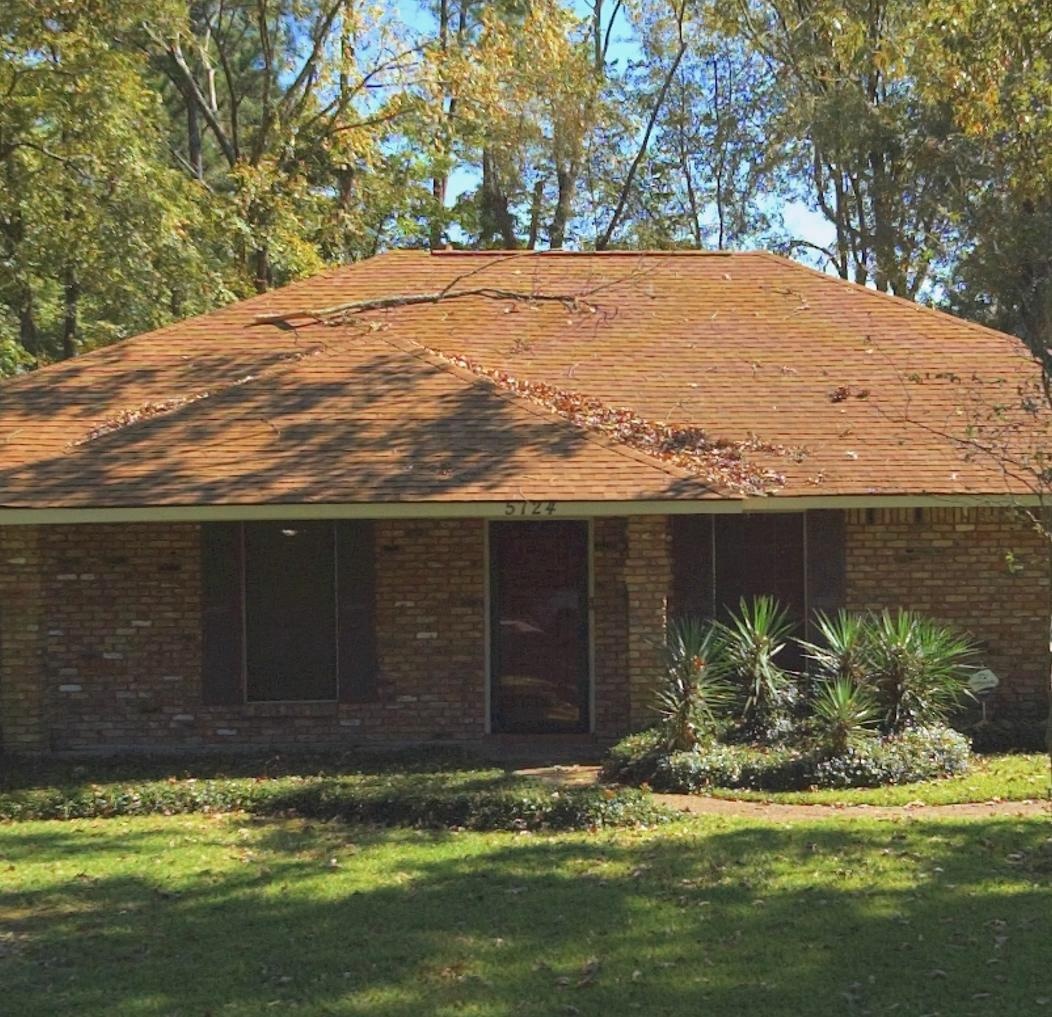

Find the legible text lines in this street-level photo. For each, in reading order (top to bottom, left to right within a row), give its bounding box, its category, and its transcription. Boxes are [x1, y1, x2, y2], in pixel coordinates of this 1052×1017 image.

[503, 500, 558, 517] StreetNumber: 5724